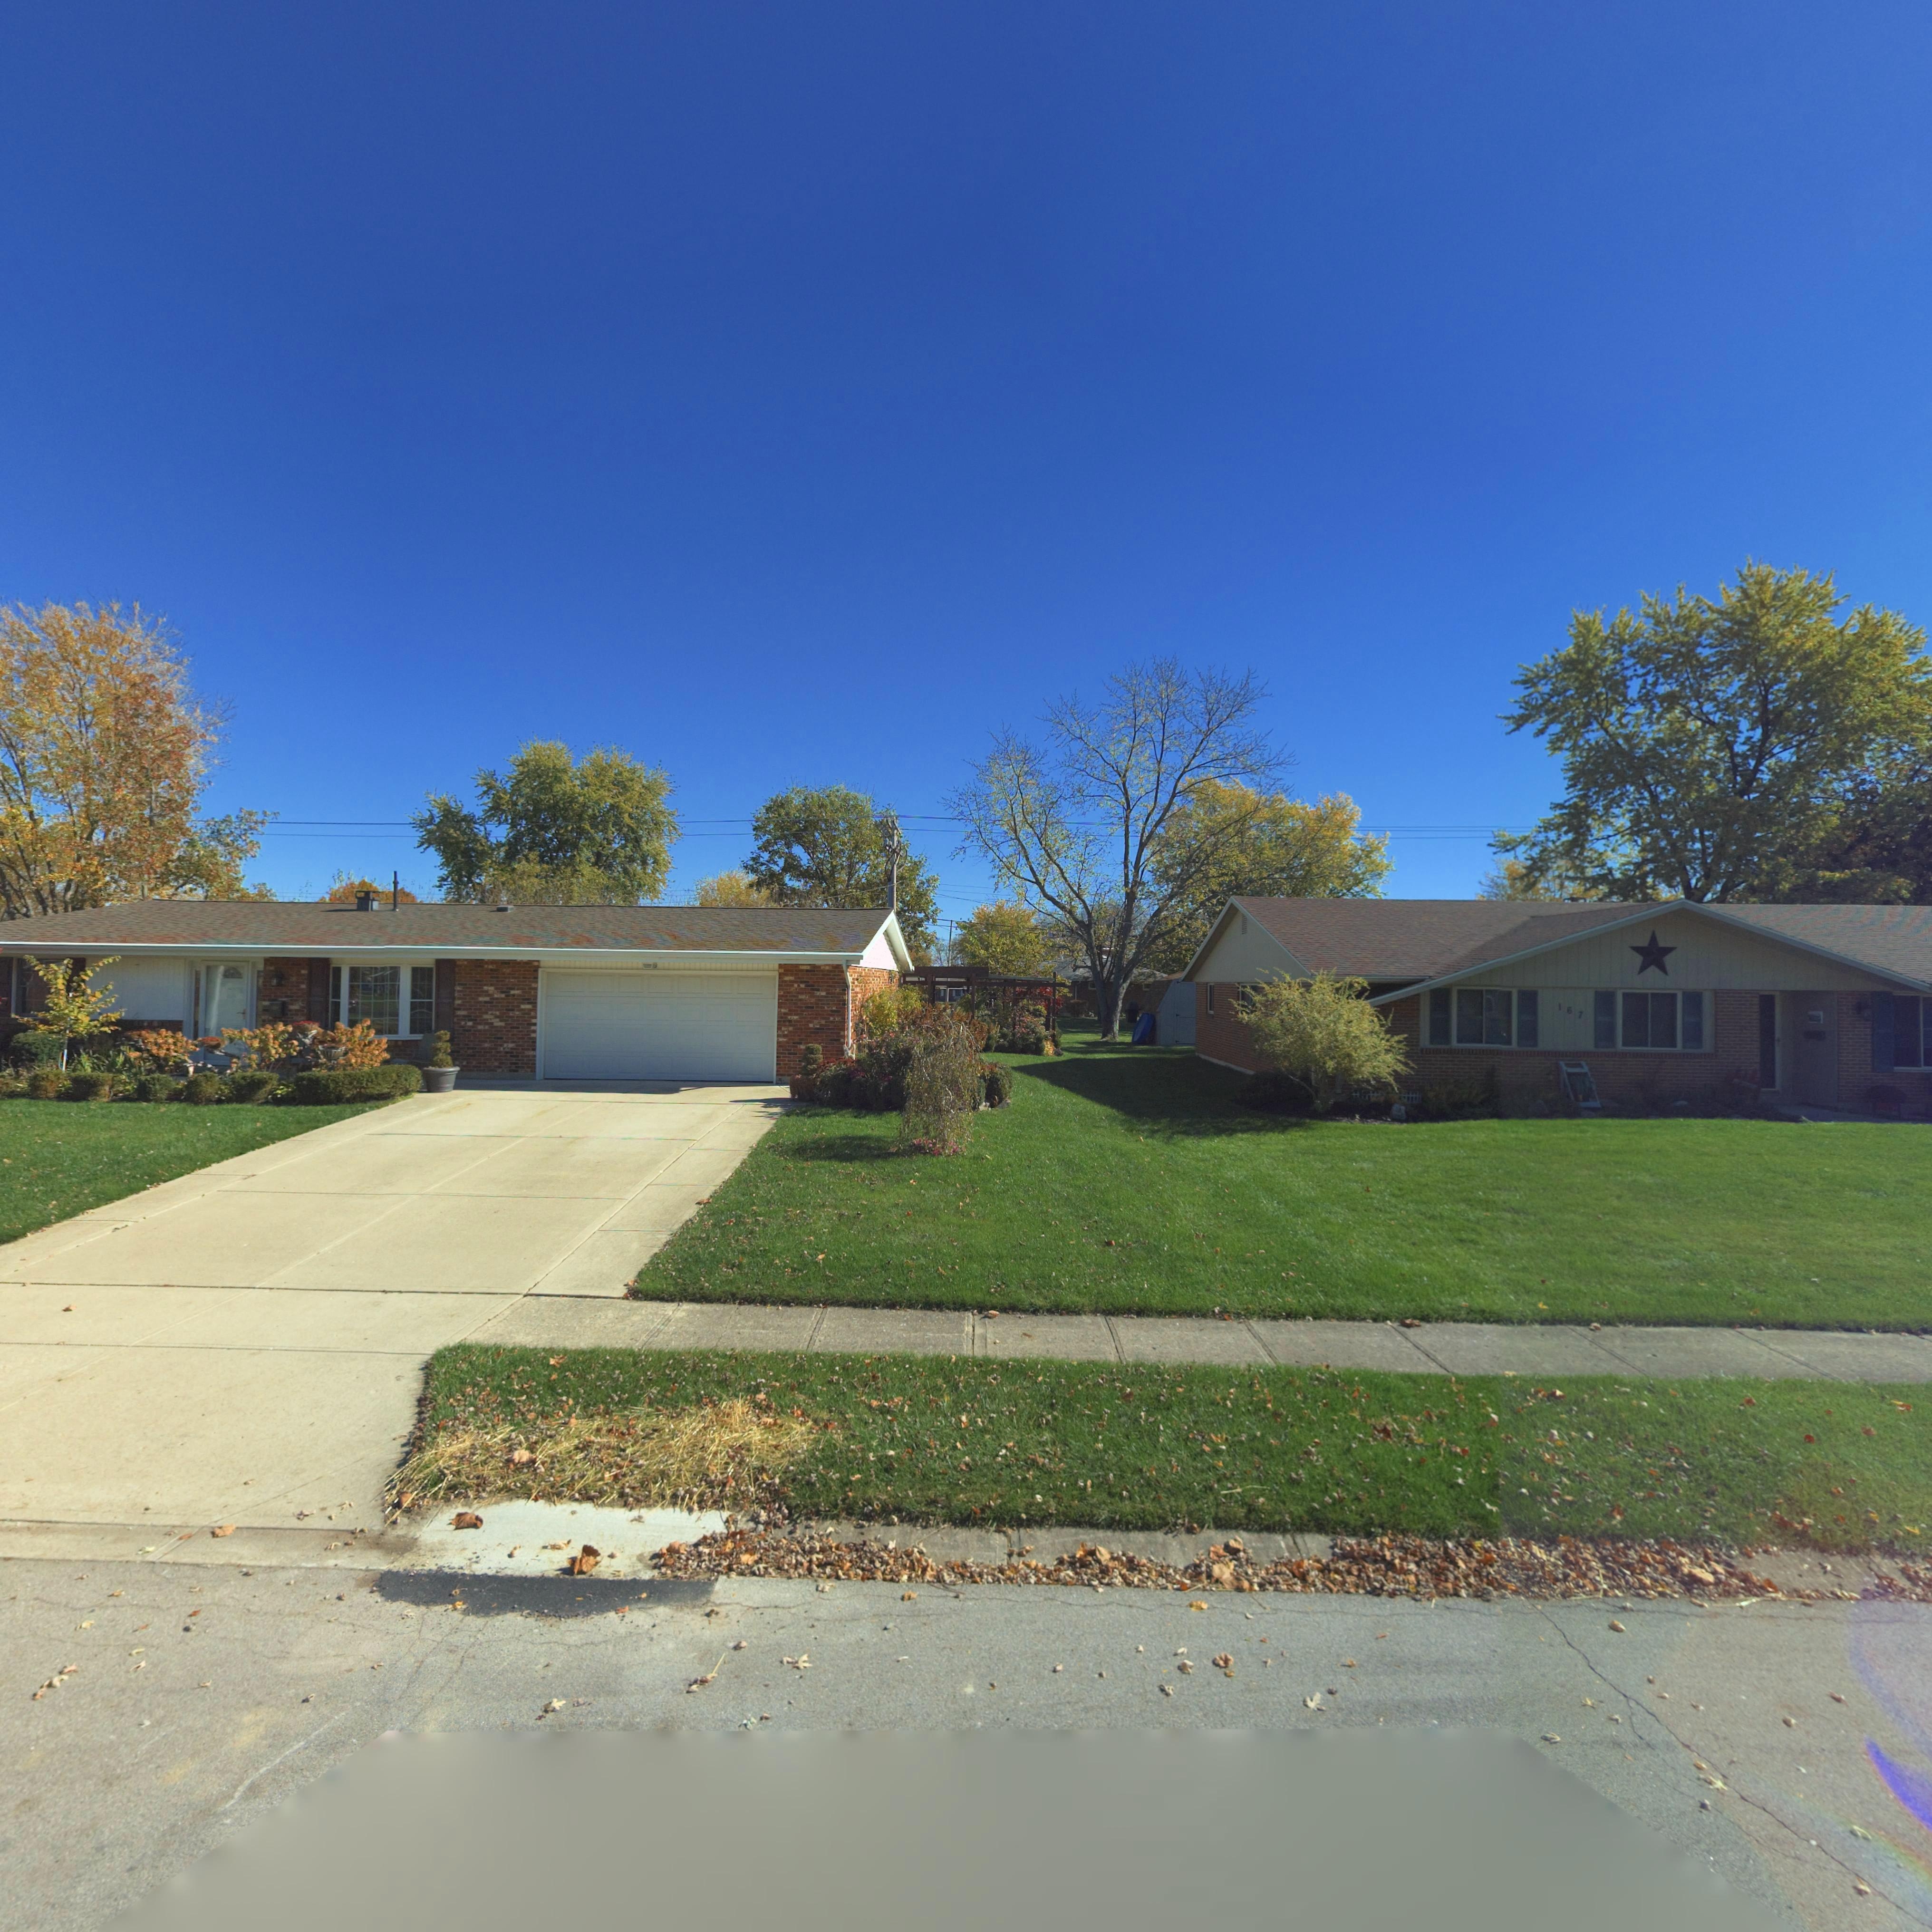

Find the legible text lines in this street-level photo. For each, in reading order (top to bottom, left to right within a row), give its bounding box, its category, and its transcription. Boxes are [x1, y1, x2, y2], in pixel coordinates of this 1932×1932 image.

[1557, 1001, 1584, 1020] StreetNumber: 167